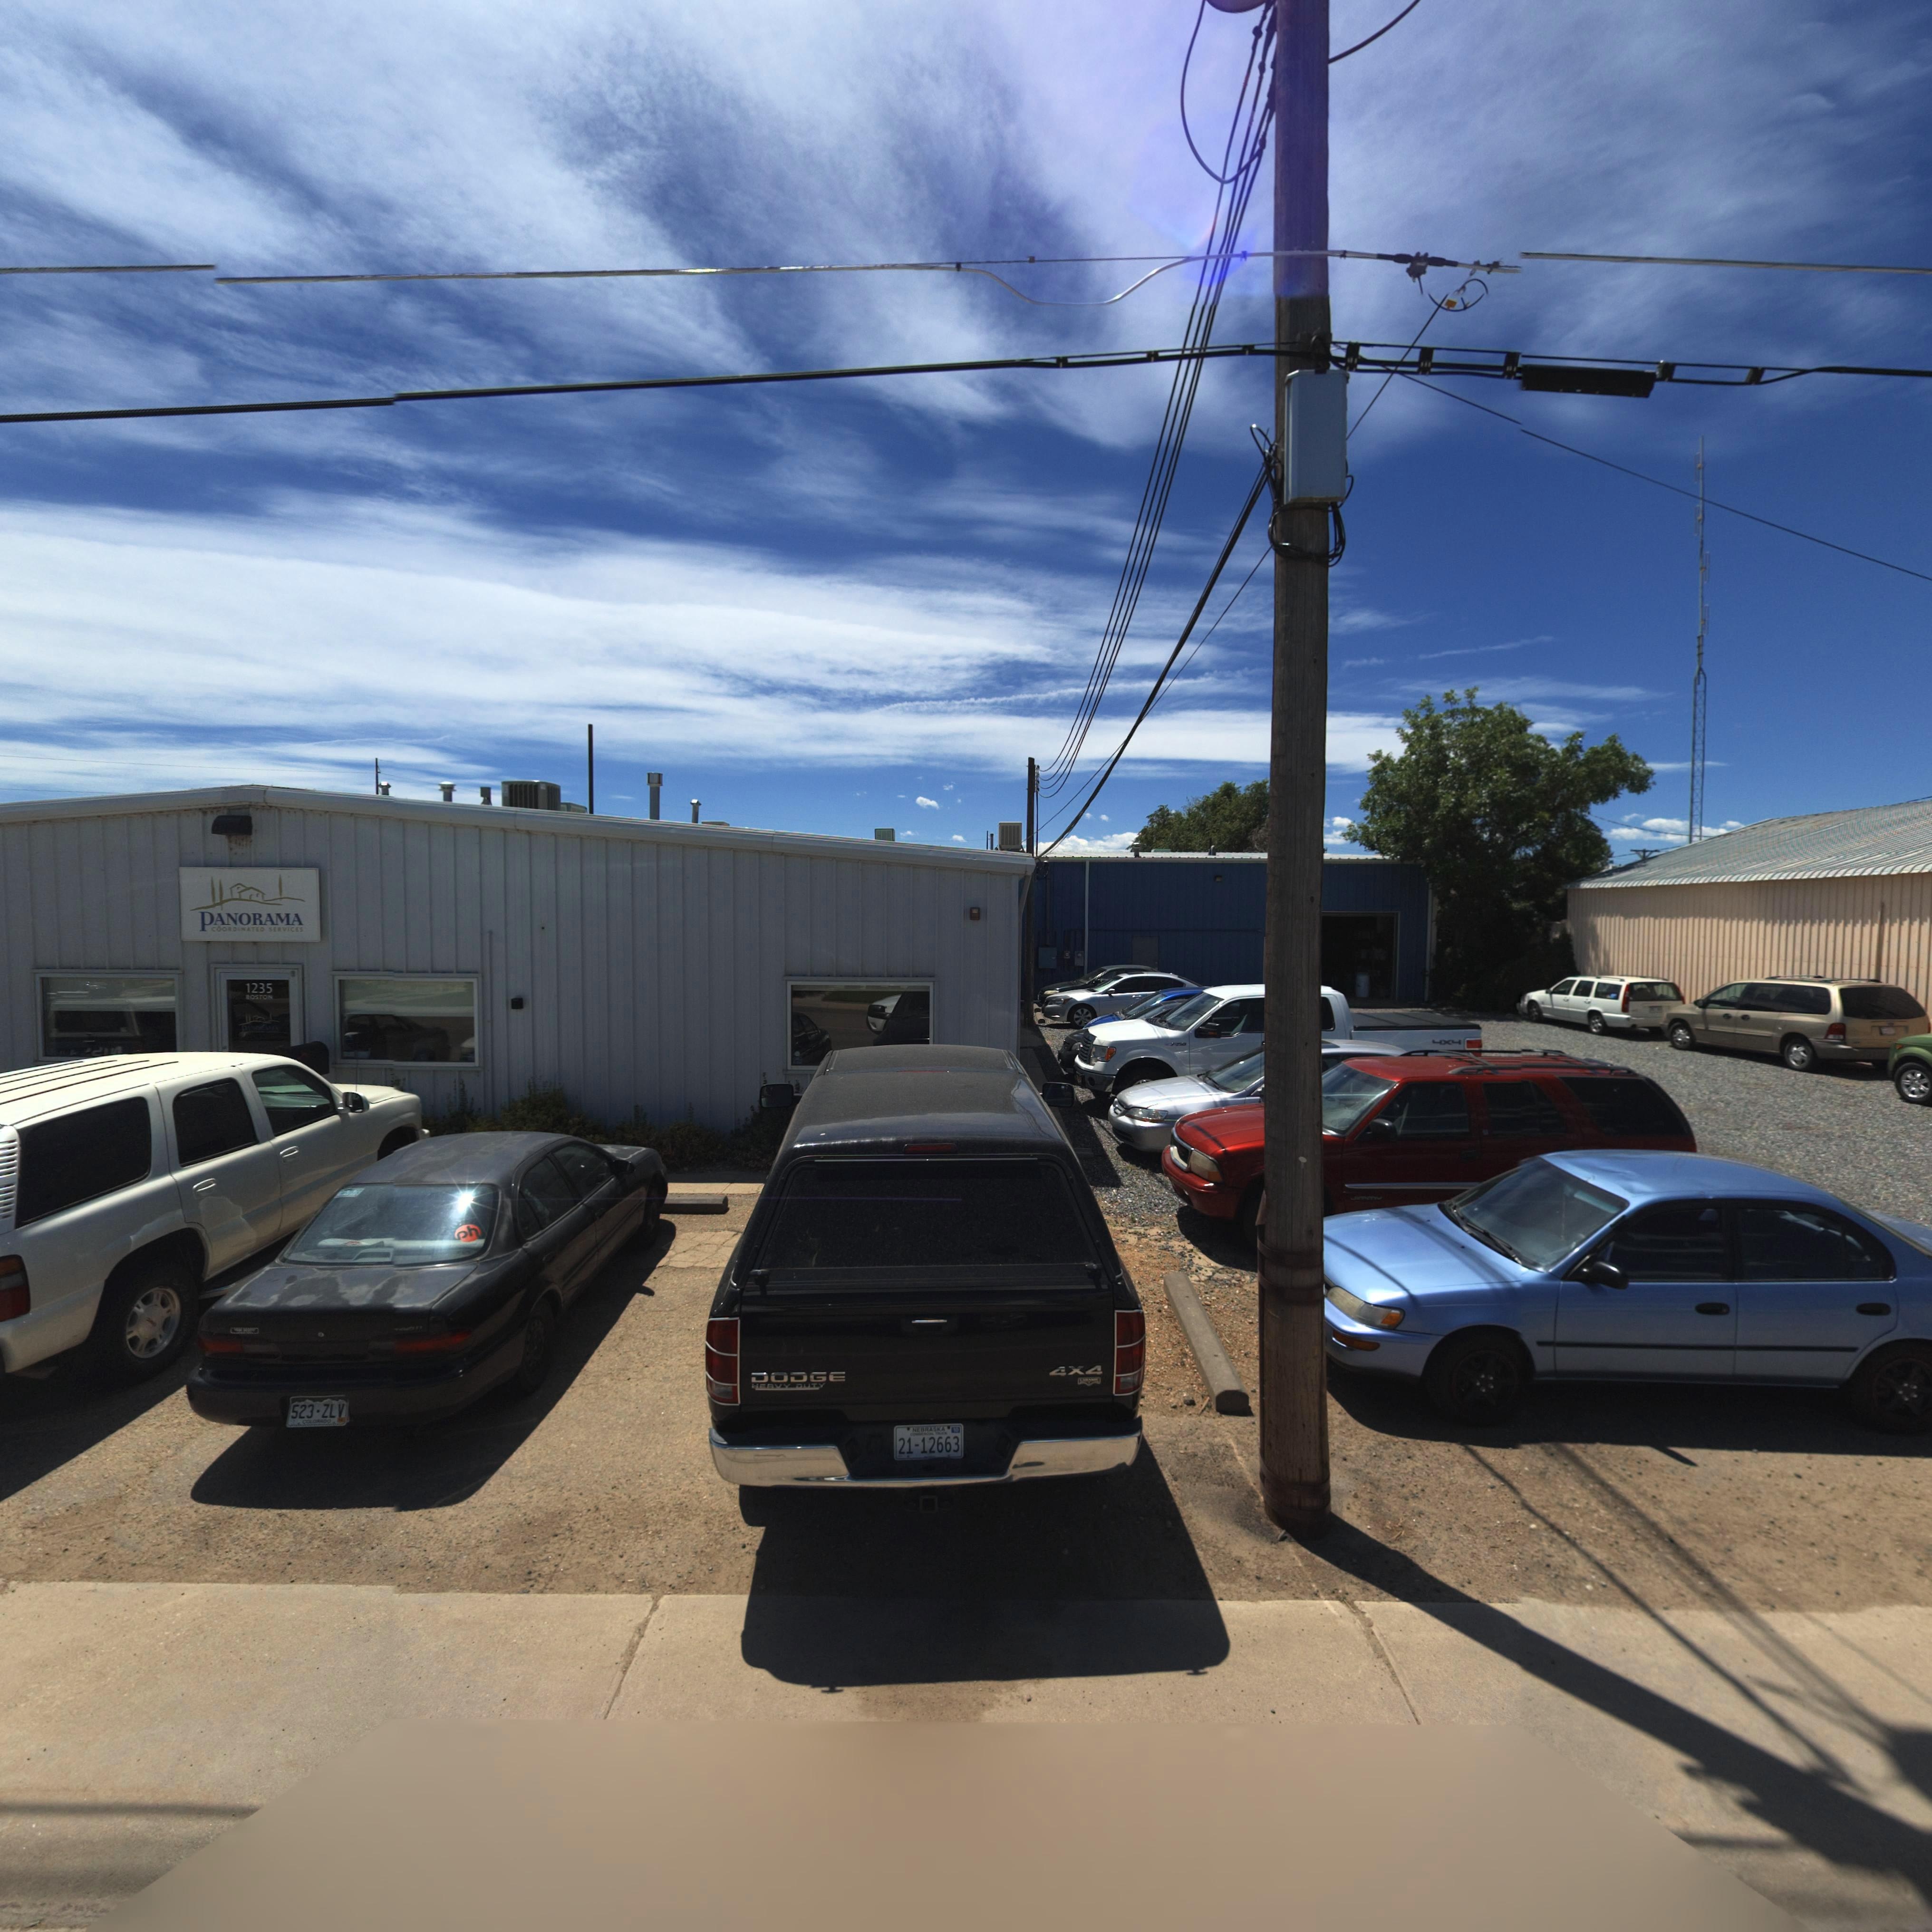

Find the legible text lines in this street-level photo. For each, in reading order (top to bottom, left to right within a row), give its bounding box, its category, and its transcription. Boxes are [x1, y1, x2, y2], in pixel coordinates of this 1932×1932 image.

[197, 910, 306, 932] BusinessName: PANORAMA
[210, 926, 304, 933] BusinessName: COORDINATED SERVICES
[244, 983, 272, 993] StreetNumber: 1235
[245, 994, 272, 999] StreetName: BOSTON
[898, 1435, 959, 1454] PhoneNumber: 21 12663